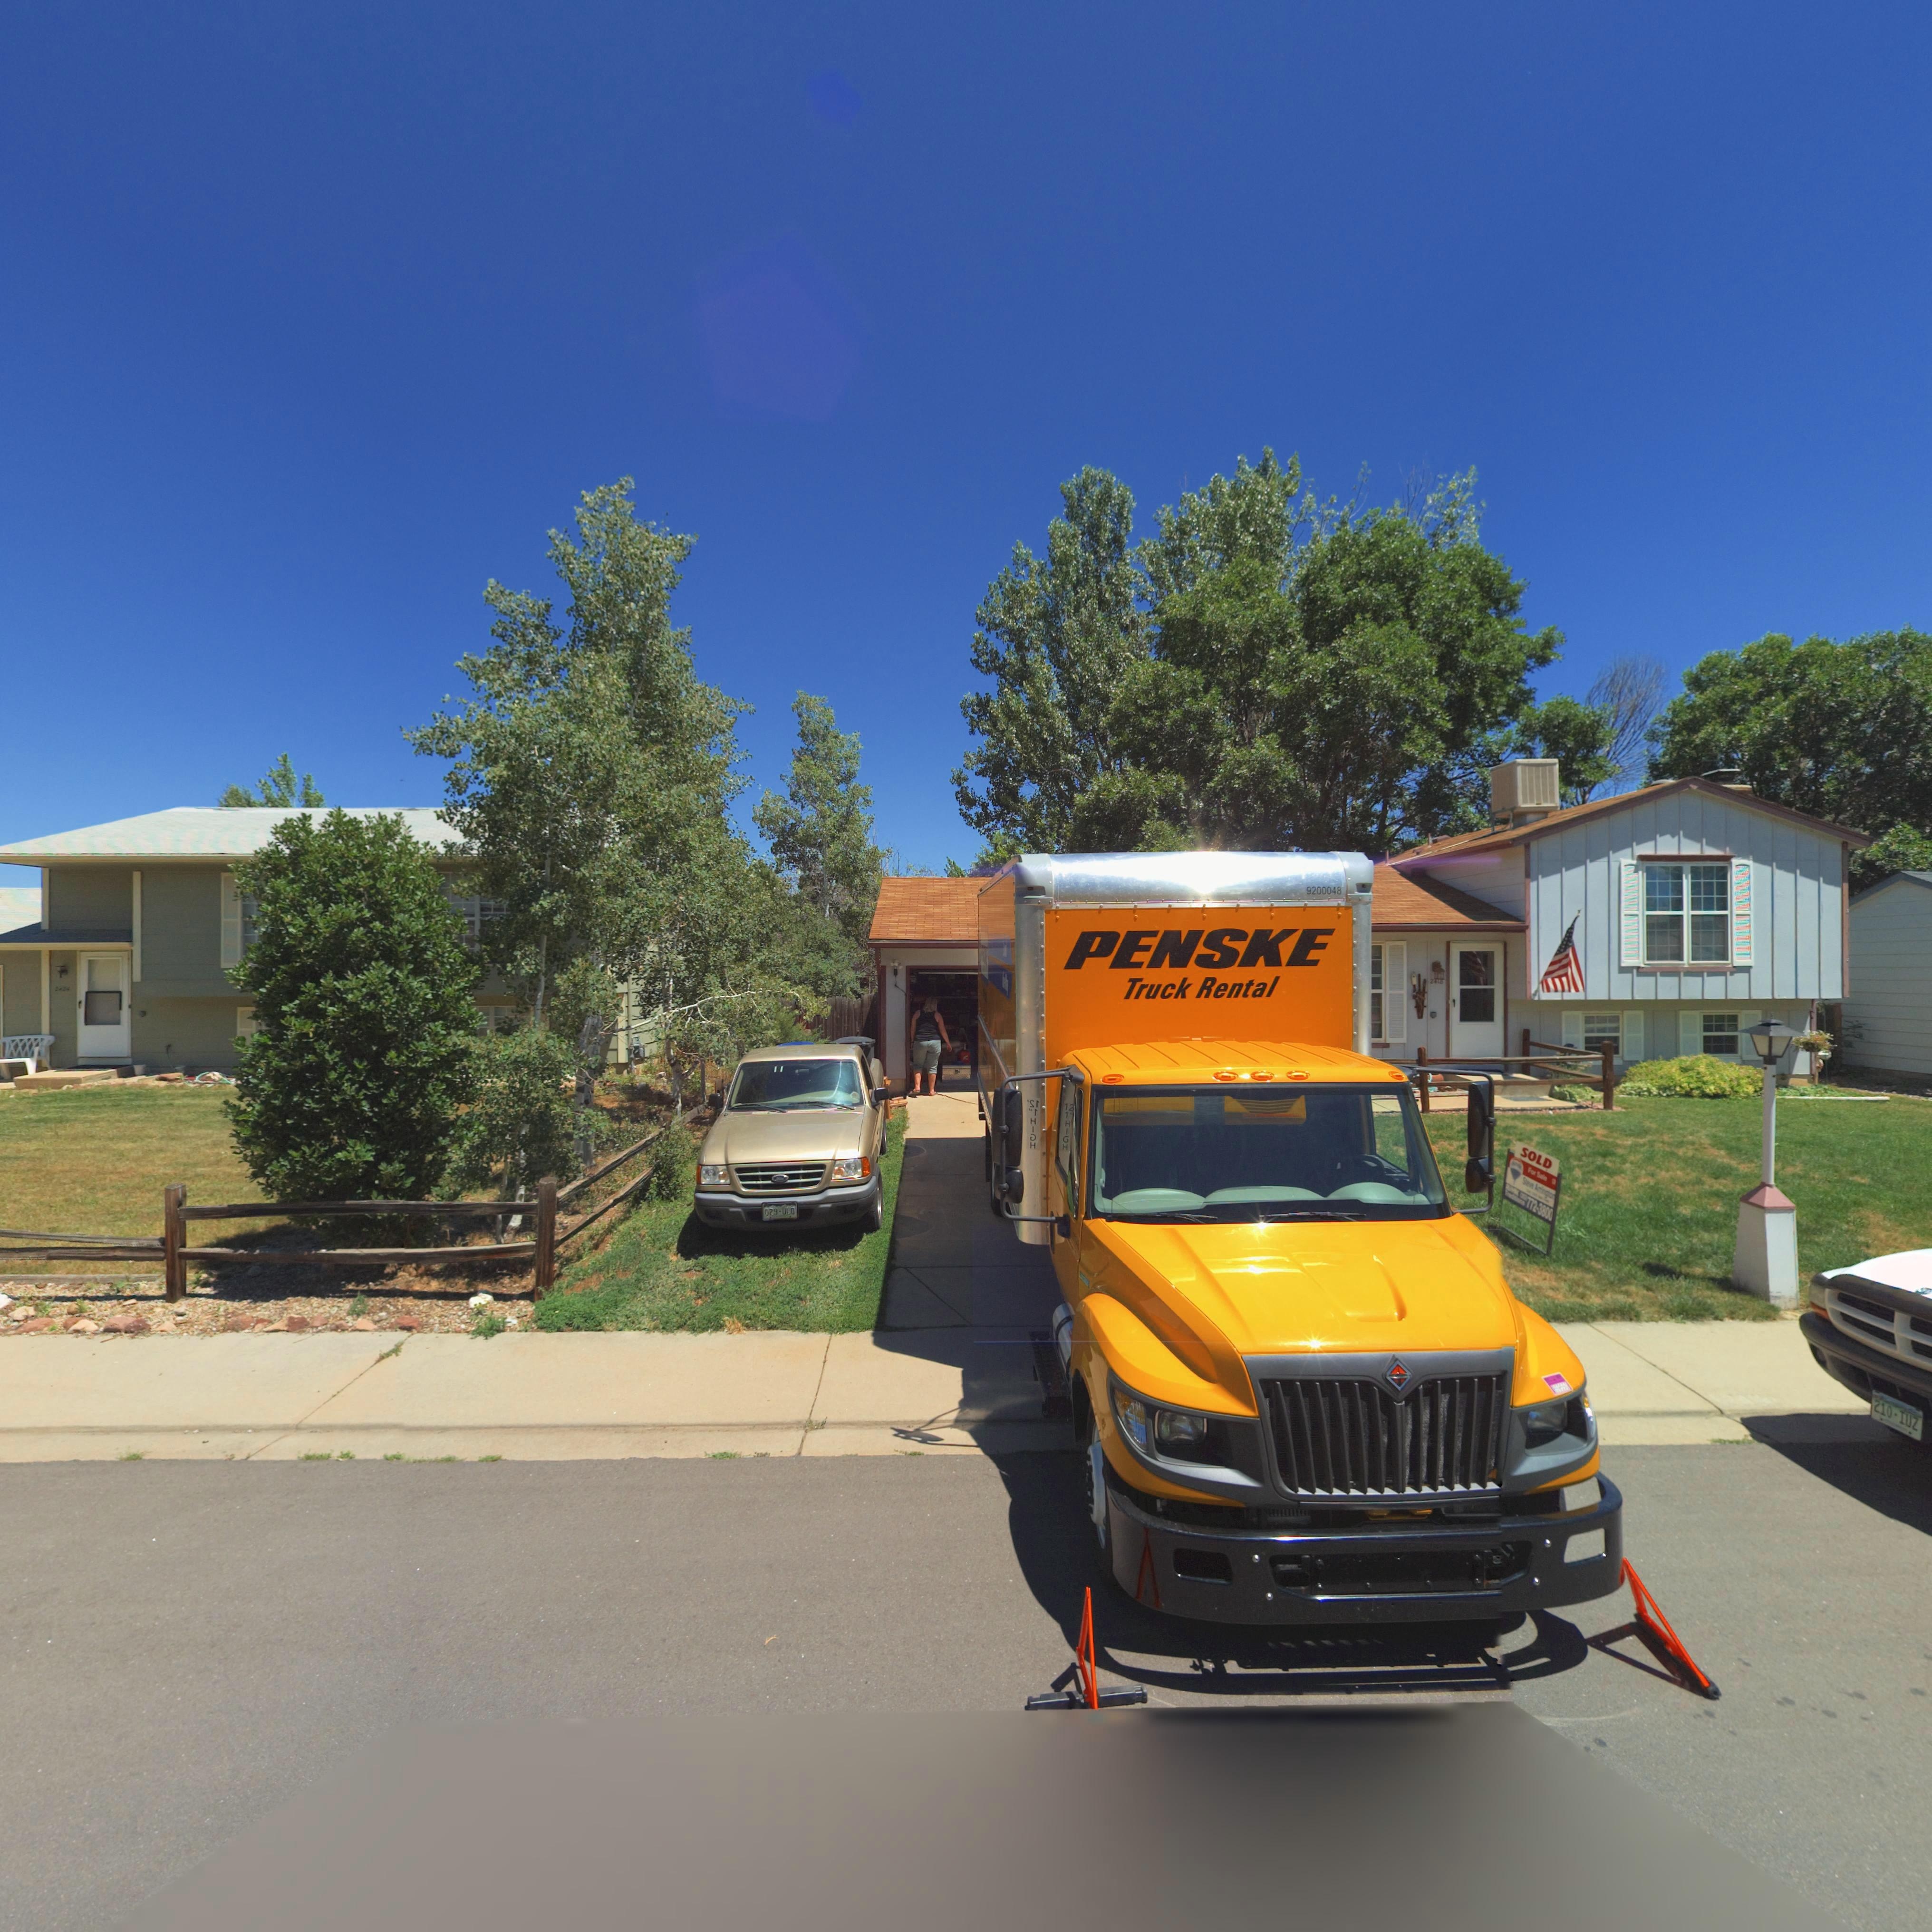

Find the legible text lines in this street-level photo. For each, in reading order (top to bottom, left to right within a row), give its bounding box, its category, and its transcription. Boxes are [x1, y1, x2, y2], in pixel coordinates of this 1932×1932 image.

[54, 986, 70, 992] StreetNumber: 2424